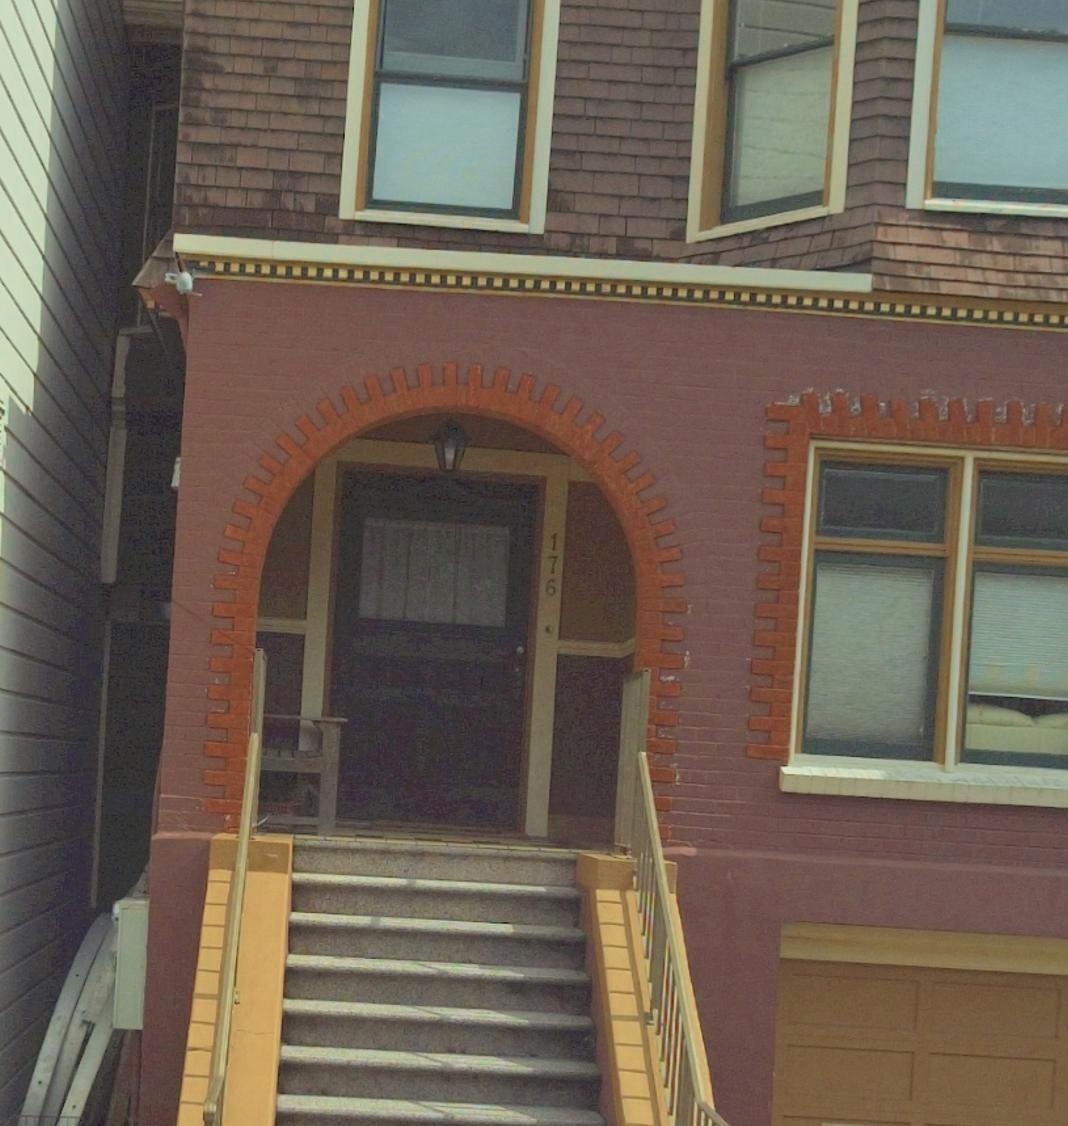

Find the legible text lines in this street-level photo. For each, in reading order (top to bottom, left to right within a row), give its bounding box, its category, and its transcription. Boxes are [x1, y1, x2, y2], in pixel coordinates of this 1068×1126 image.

[544, 530, 560, 599] StreetNumber: 176